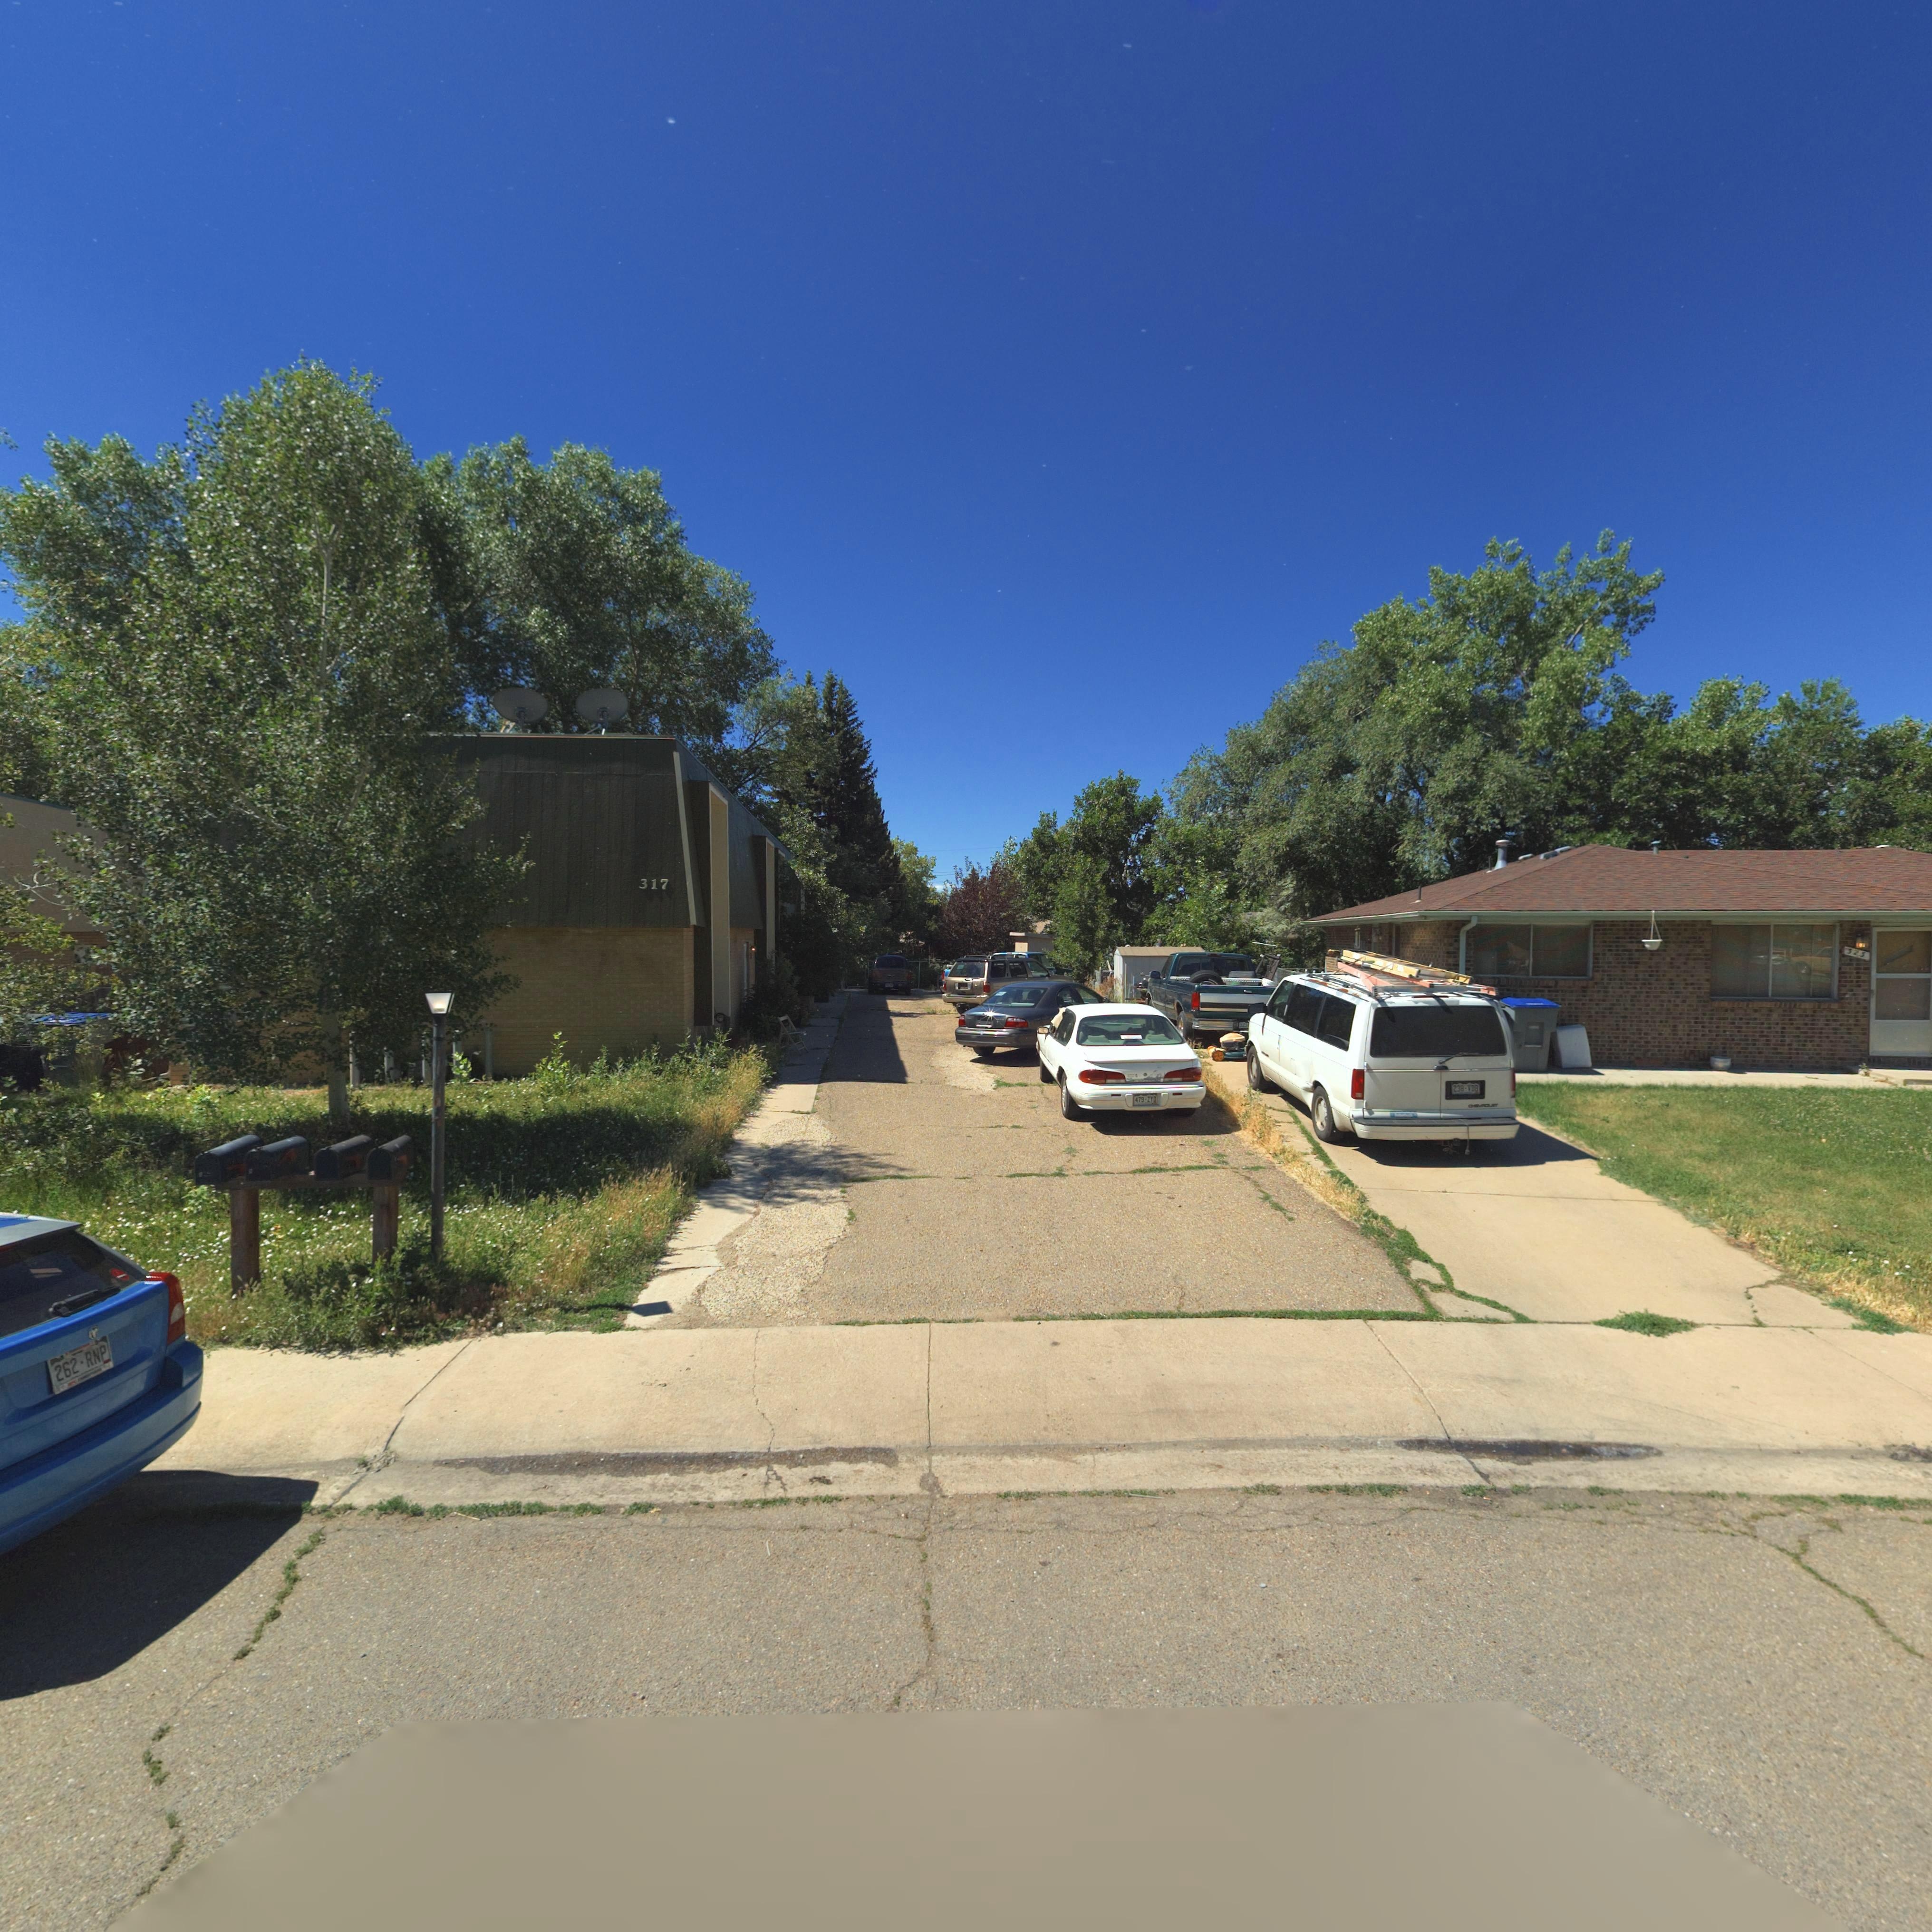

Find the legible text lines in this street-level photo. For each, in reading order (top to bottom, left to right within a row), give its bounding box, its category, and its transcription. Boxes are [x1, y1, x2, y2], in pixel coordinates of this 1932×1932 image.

[637, 877, 670, 891] StreetNumber: 317
[1846, 947, 1866, 957] StreetNumber: 375